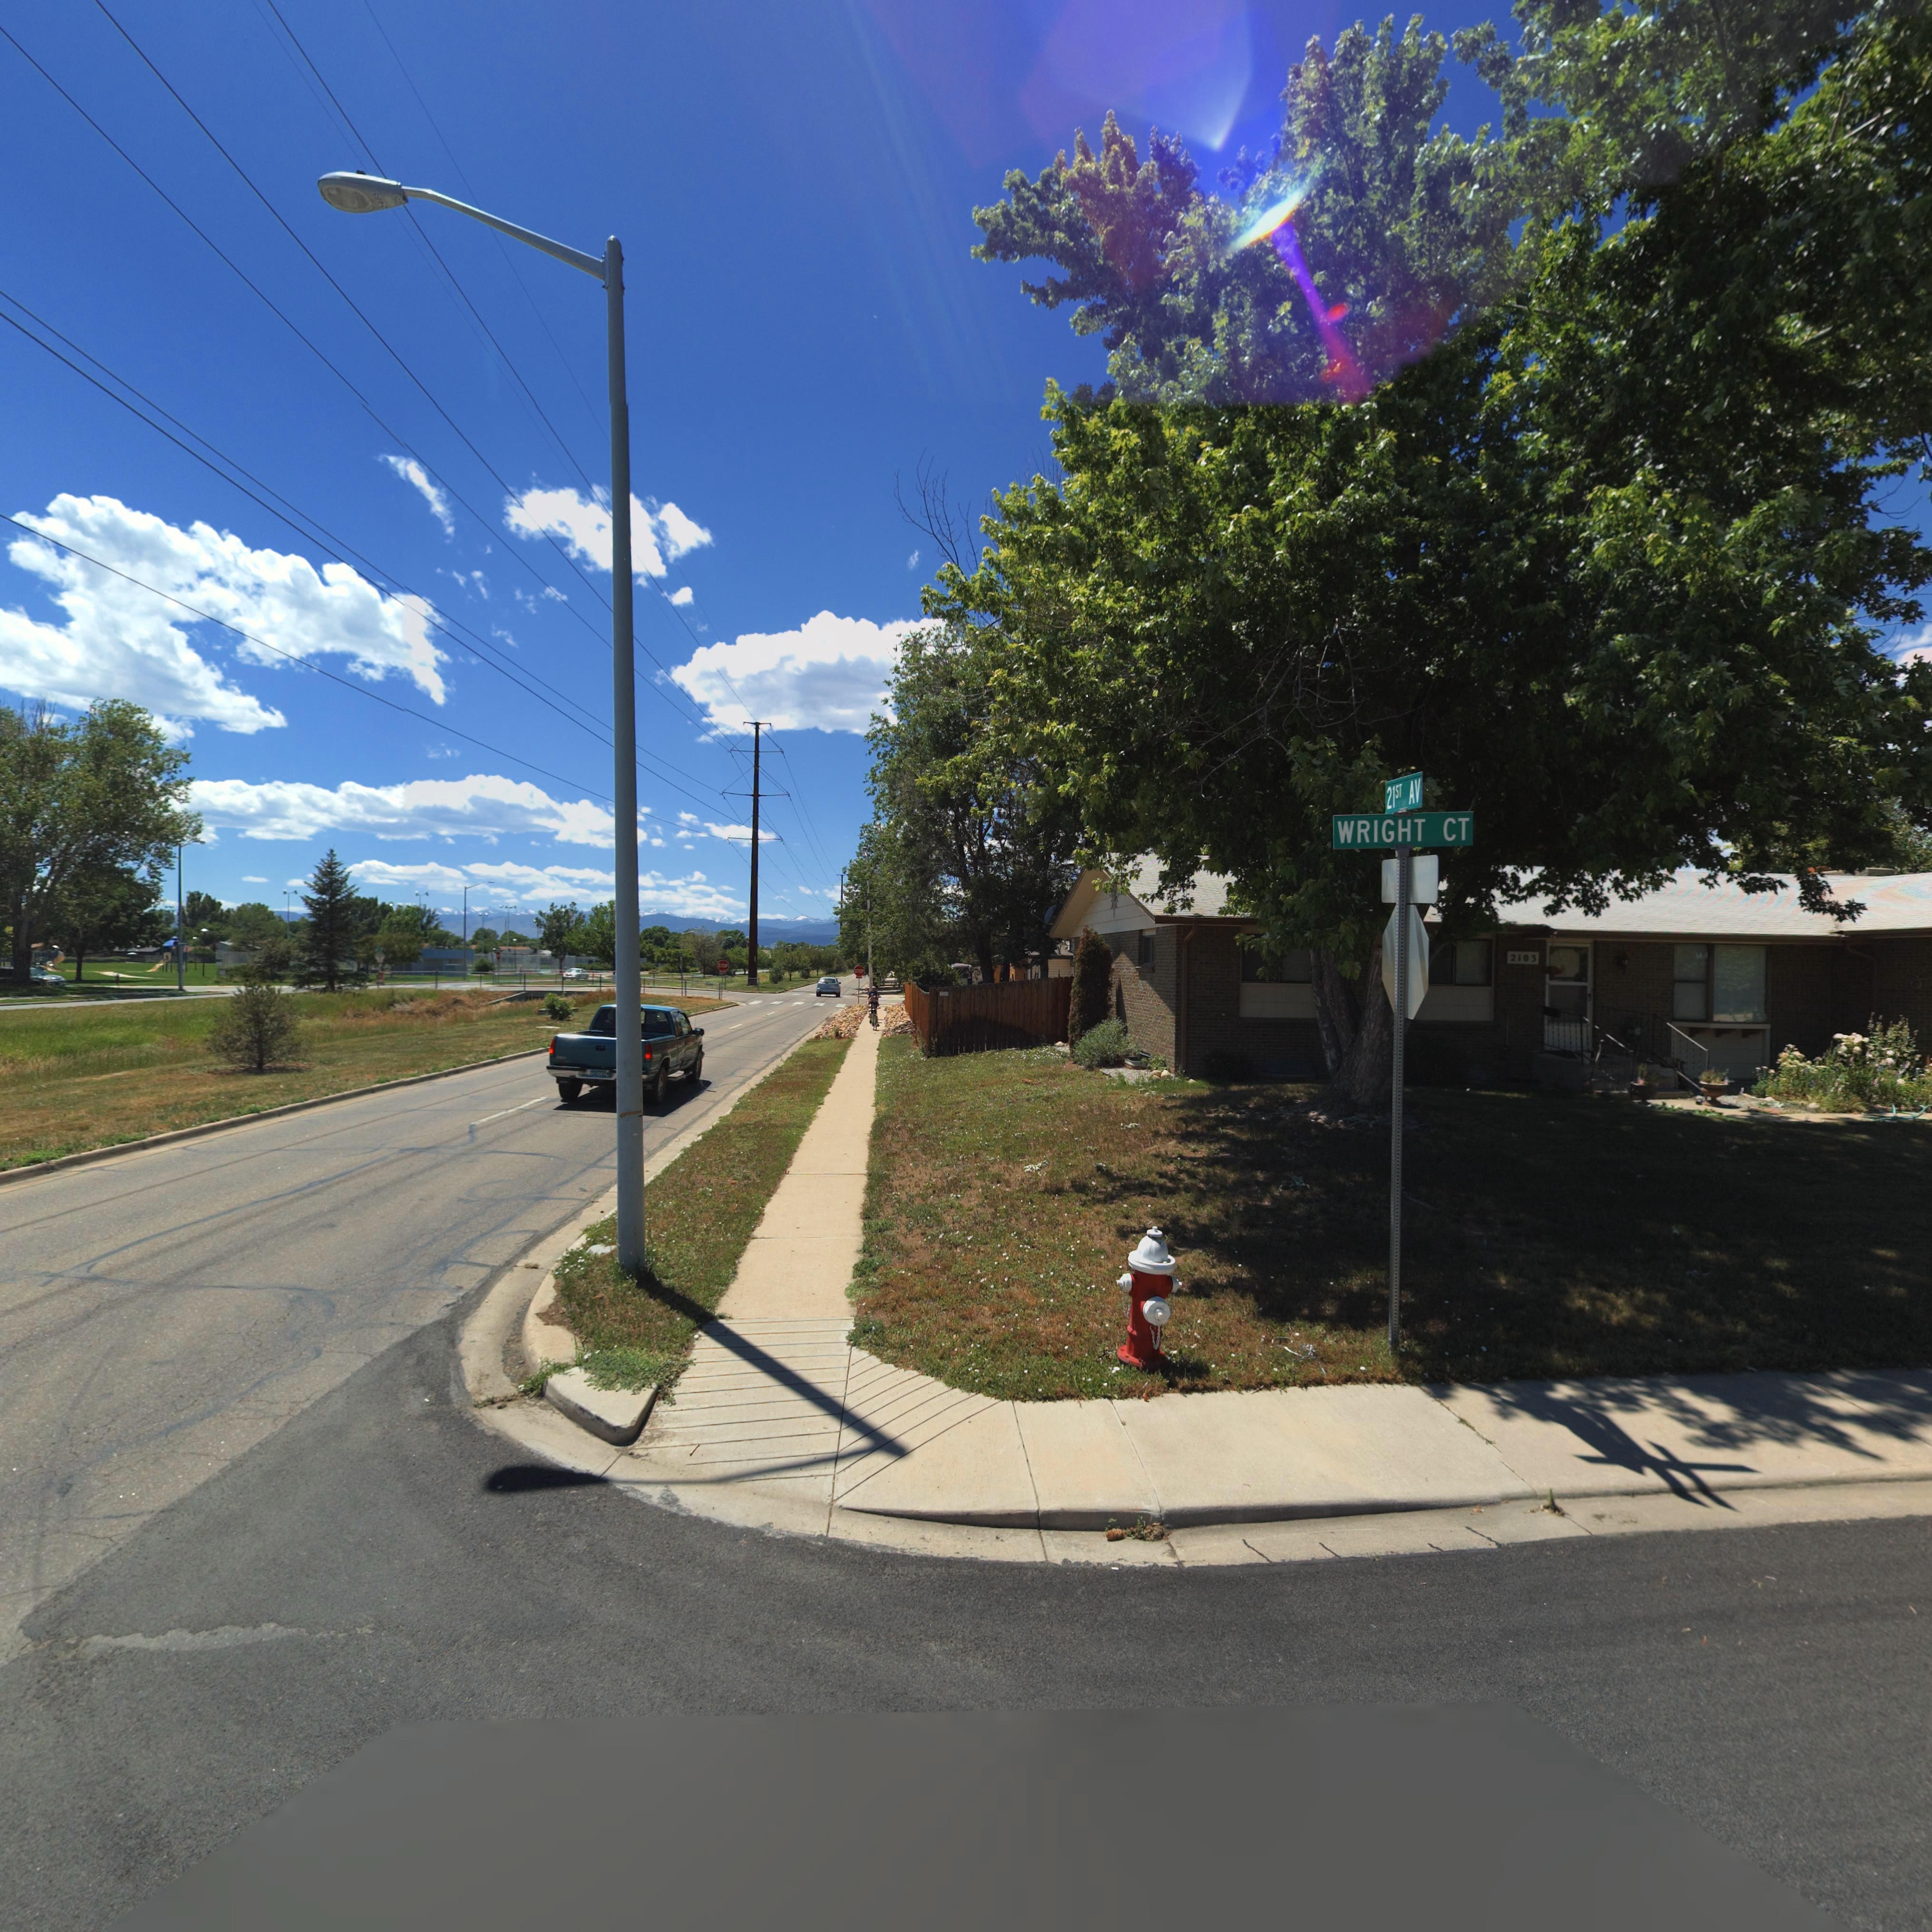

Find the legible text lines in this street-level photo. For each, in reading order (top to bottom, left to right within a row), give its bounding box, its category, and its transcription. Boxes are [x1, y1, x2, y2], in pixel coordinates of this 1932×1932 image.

[1385, 774, 1424, 811] StreetName: 21ST AV
[1334, 817, 1470, 844] StreetName: WRIGHT CT
[1510, 953, 1536, 962] StreetNumber: 2103